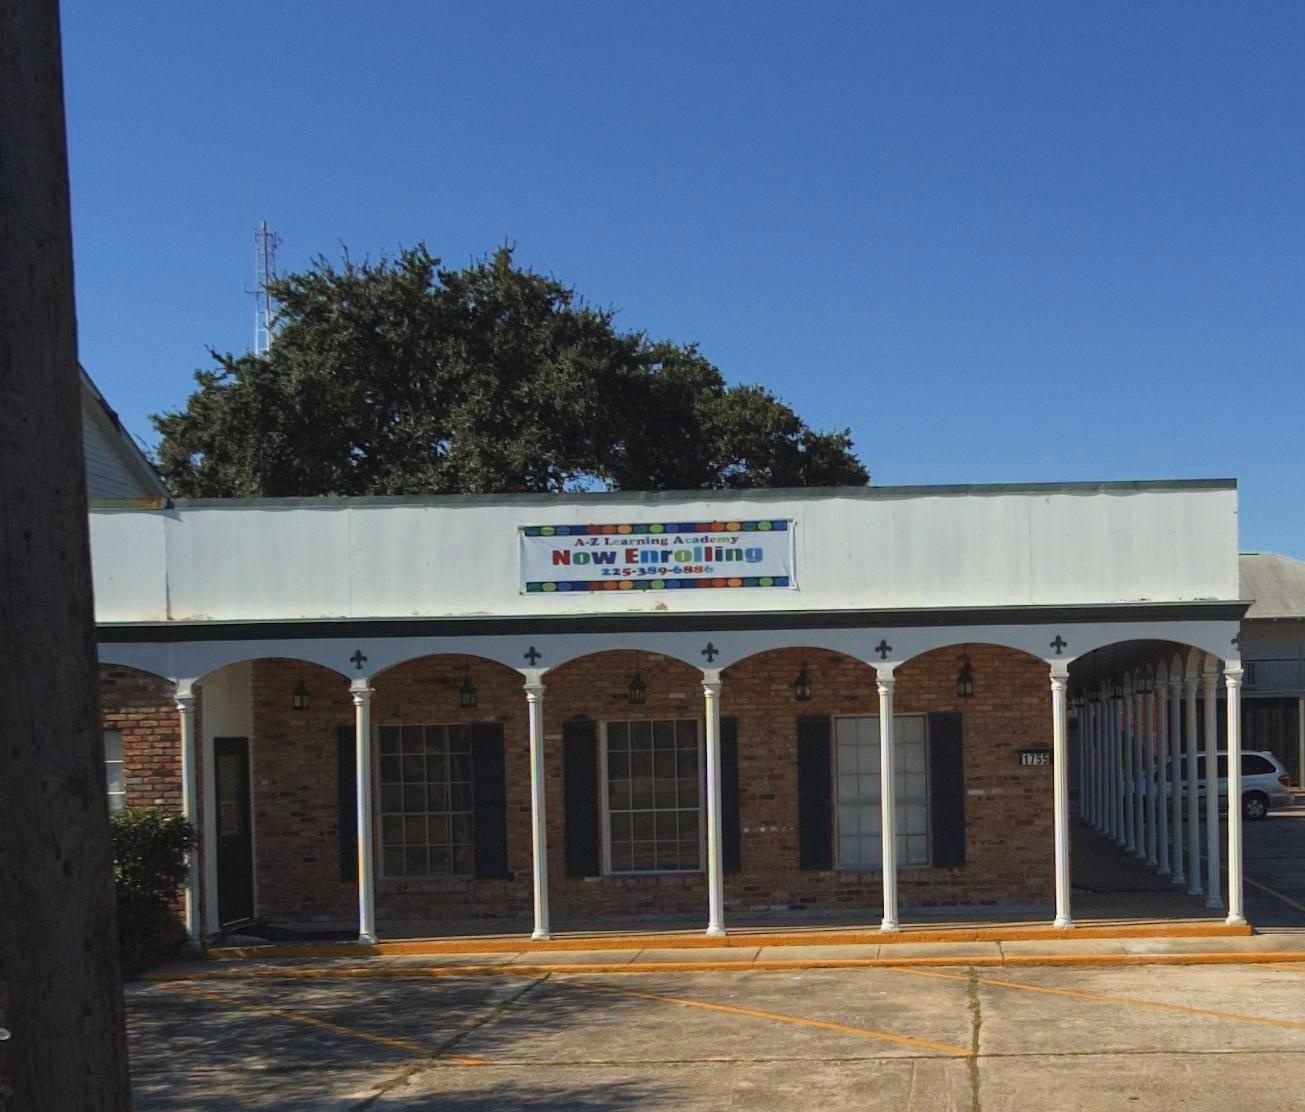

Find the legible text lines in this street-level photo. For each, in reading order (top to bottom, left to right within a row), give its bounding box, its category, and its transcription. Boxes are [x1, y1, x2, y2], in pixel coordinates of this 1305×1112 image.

[570, 533, 744, 549] BusinessName: A-Z Learning Academy
[549, 543, 765, 568] None: Now Enrolling
[598, 562, 717, 580] None: 225-389-6886
[1021, 751, 1051, 767] StreetNumber: 1755